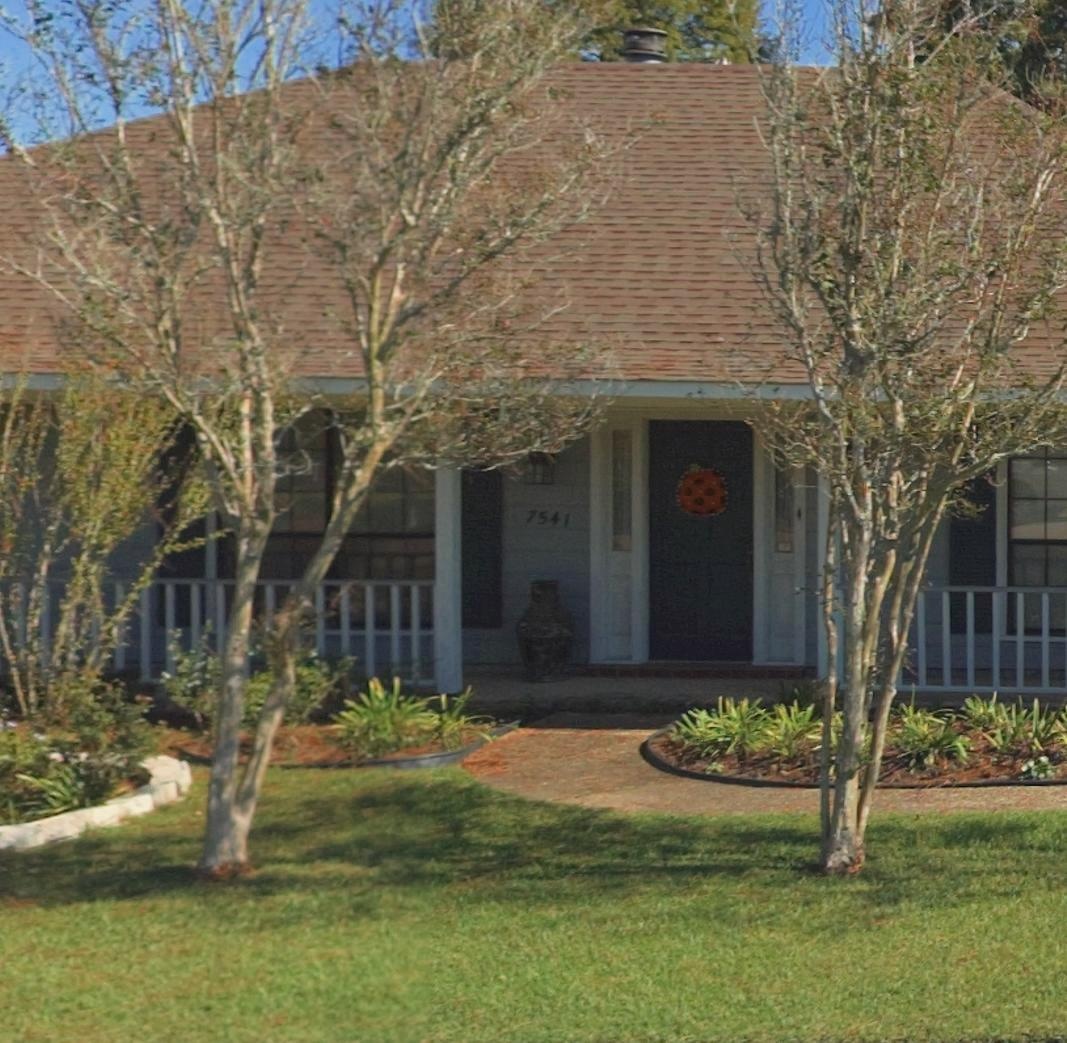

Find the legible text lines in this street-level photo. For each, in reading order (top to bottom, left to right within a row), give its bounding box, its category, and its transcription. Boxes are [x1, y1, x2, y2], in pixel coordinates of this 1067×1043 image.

[526, 509, 572, 527] StreetNumber: 7541